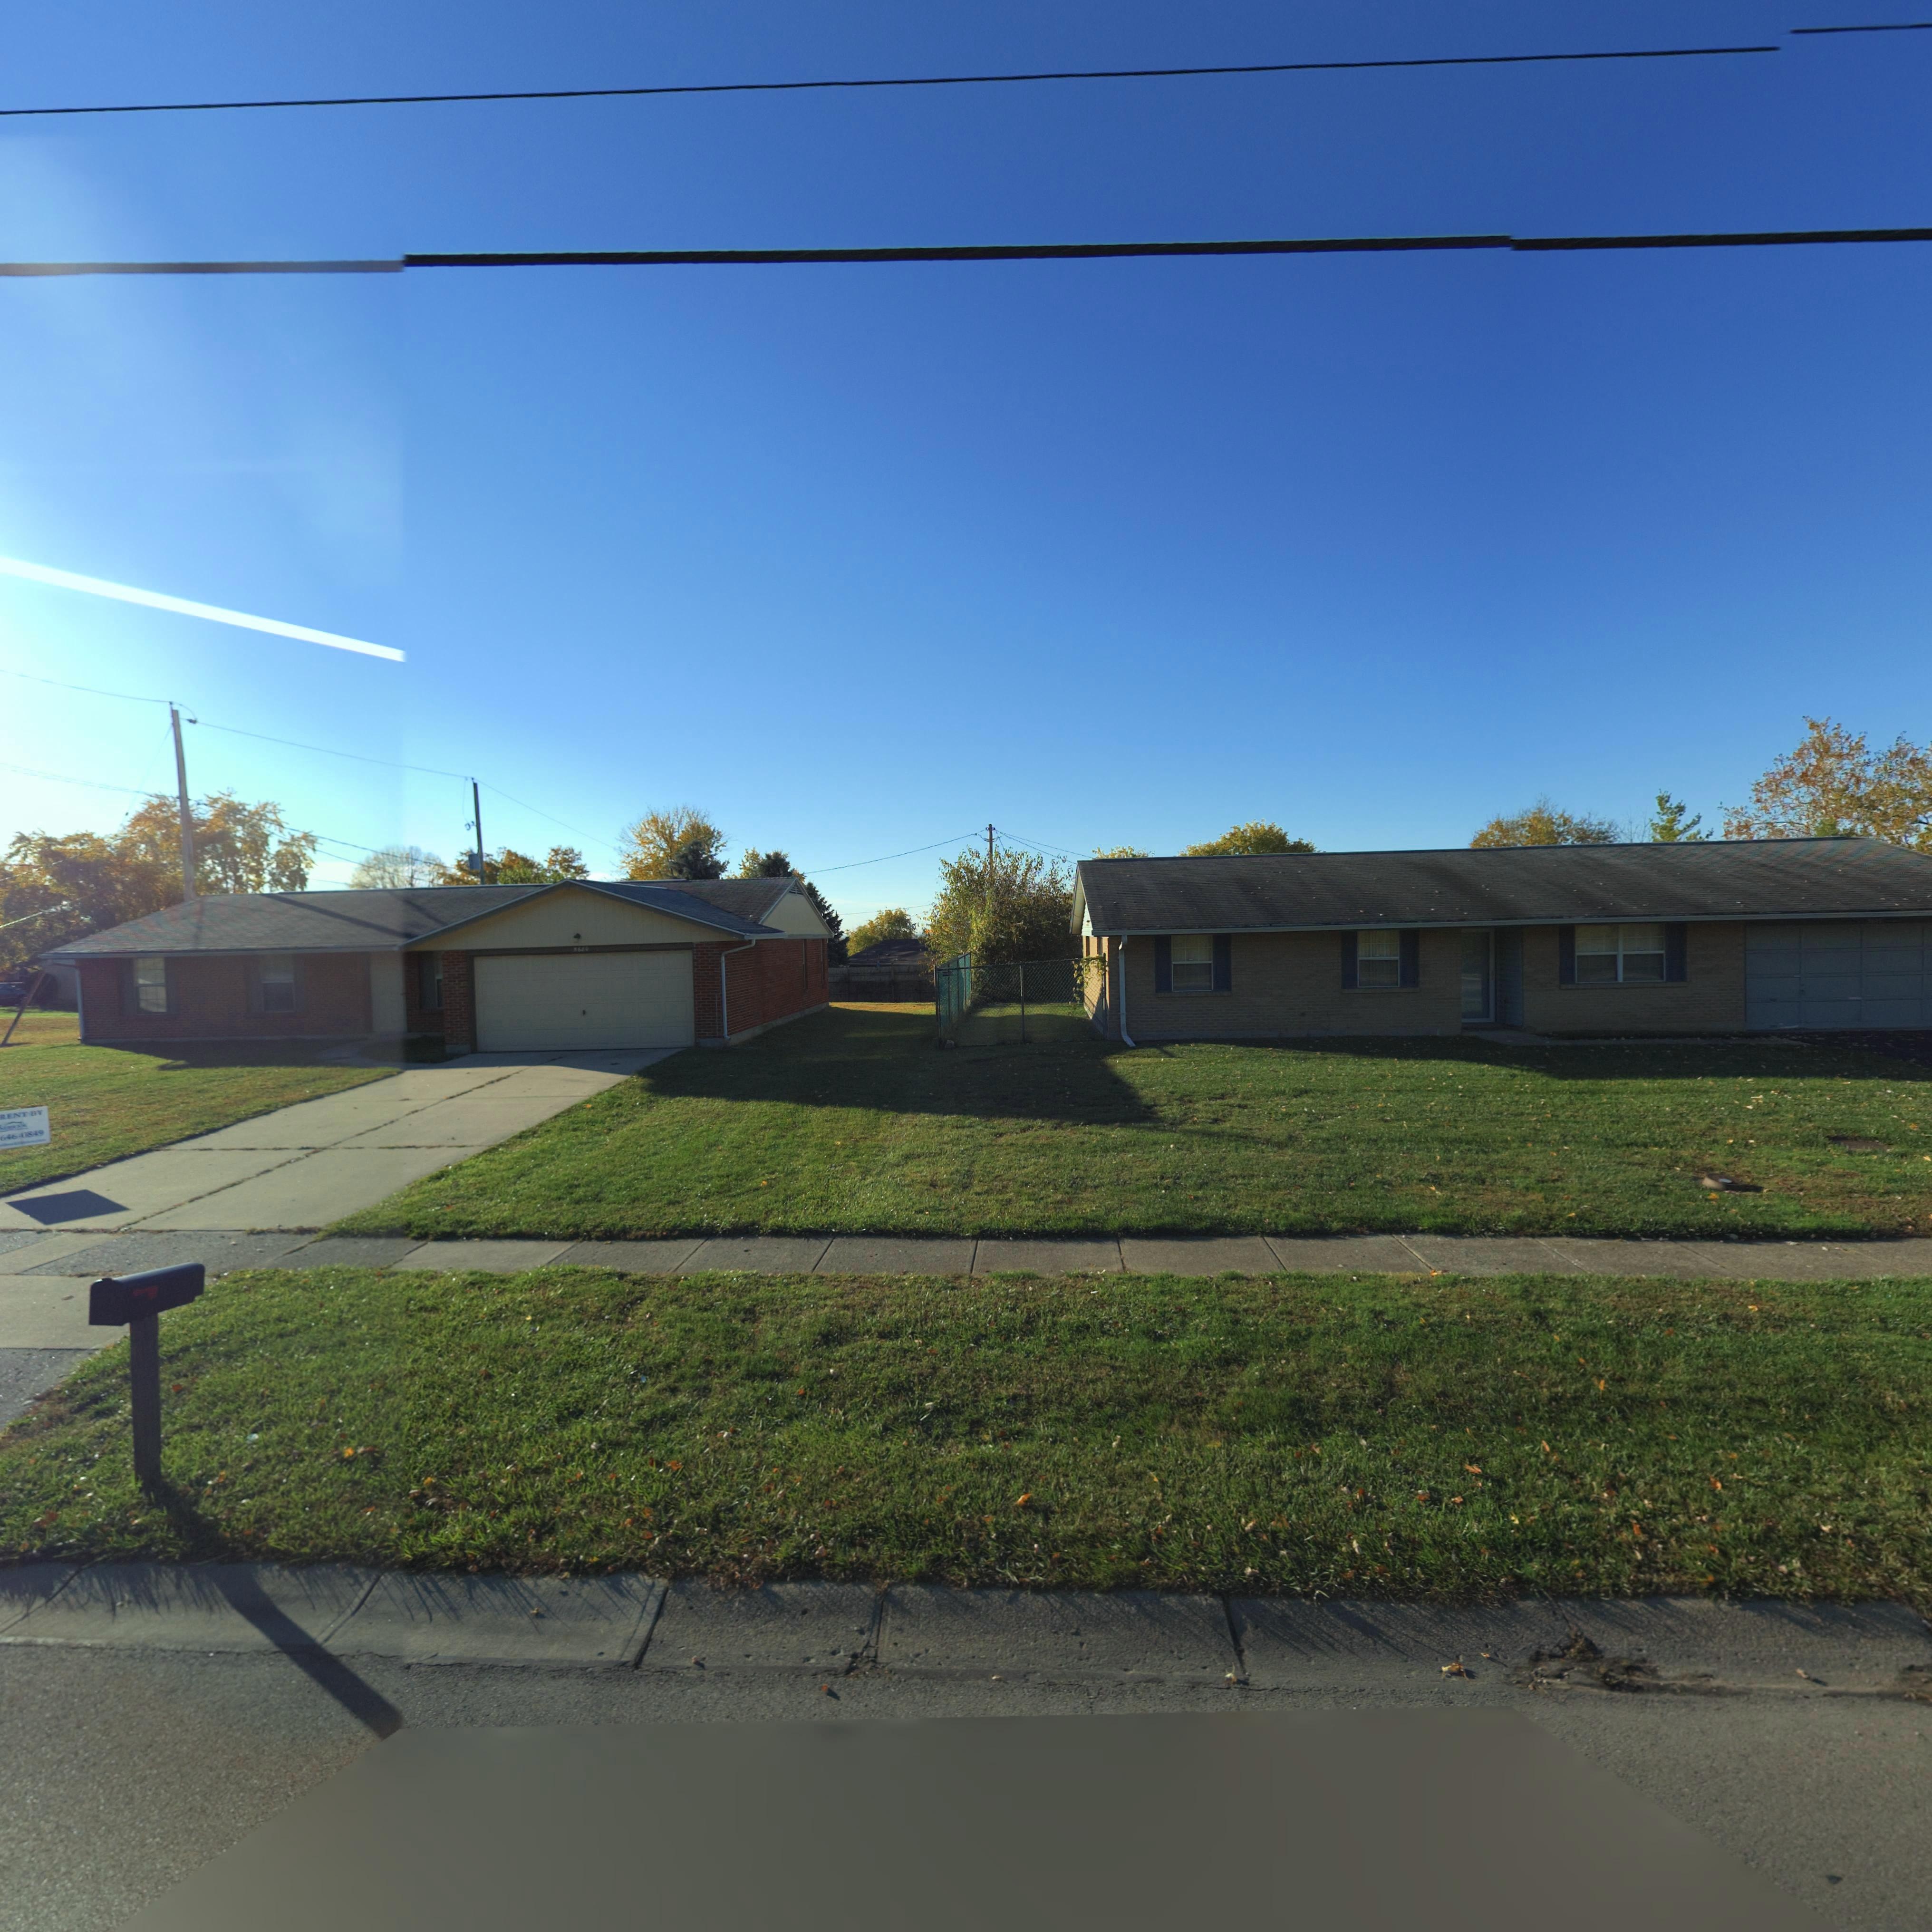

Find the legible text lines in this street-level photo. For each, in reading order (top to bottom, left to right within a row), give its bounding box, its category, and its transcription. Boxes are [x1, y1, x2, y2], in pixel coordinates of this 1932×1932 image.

[572, 945, 590, 953] StreetNumber: 5680